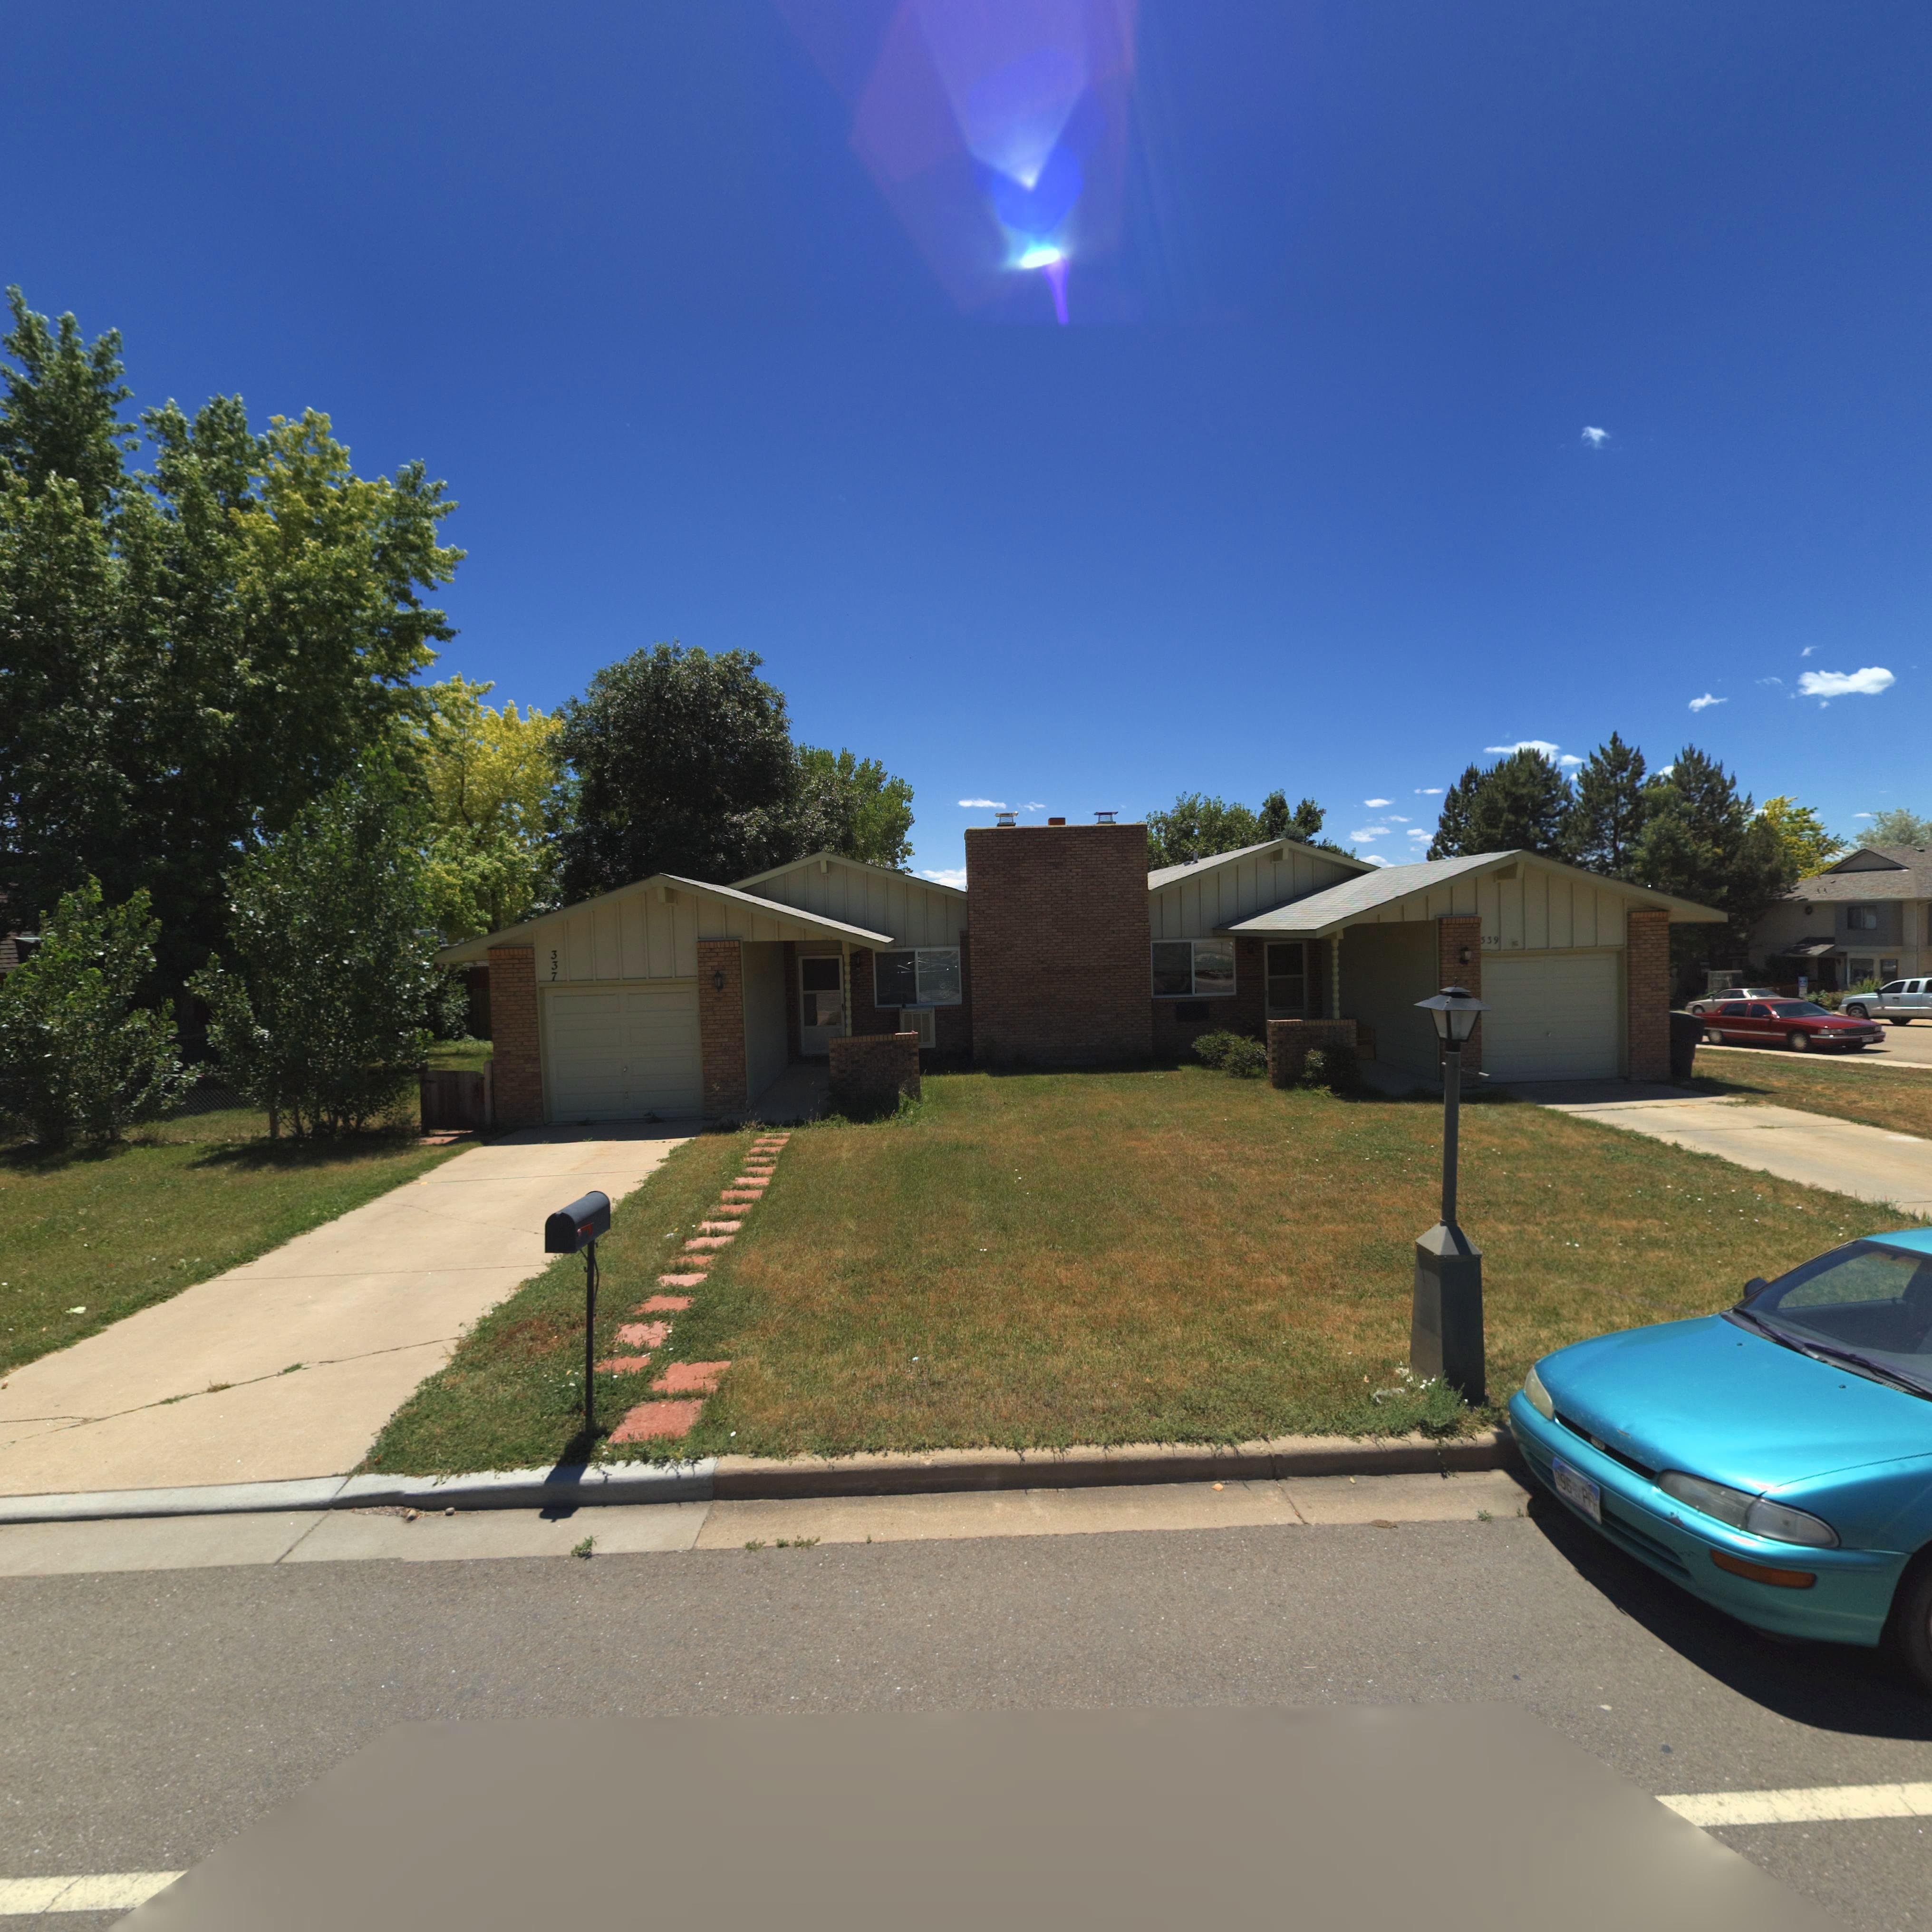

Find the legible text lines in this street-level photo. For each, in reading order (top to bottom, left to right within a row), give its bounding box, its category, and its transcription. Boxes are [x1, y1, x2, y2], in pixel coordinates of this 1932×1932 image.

[1480, 936, 1499, 944] StreetNumber: 339
[550, 949, 559, 981] StreetNumber: 337